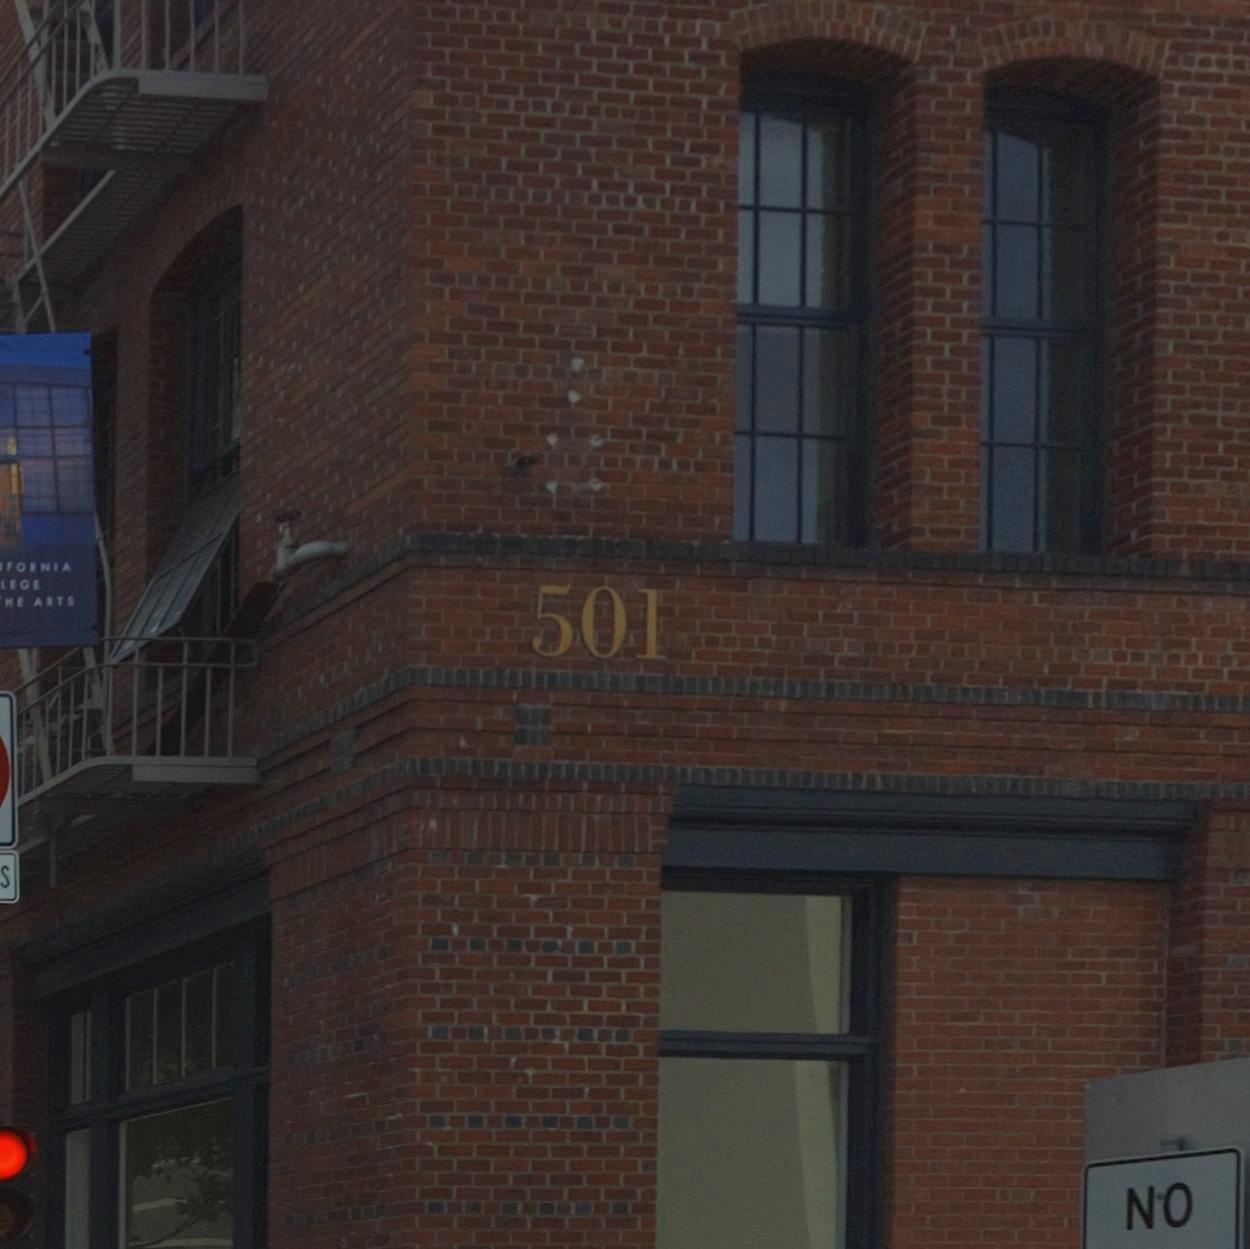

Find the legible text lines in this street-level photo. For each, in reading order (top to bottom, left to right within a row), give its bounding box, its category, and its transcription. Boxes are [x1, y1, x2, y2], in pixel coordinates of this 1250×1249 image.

[4, 560, 74, 572] None: FORNIA
[0, 578, 40, 590] None: LEGE
[3, 595, 76, 607] None: HE ARTS
[529, 580, 671, 663] StreetNumber: 501
[0, 865, 10, 889] None: S
[1124, 1179, 1199, 1232] None: NO